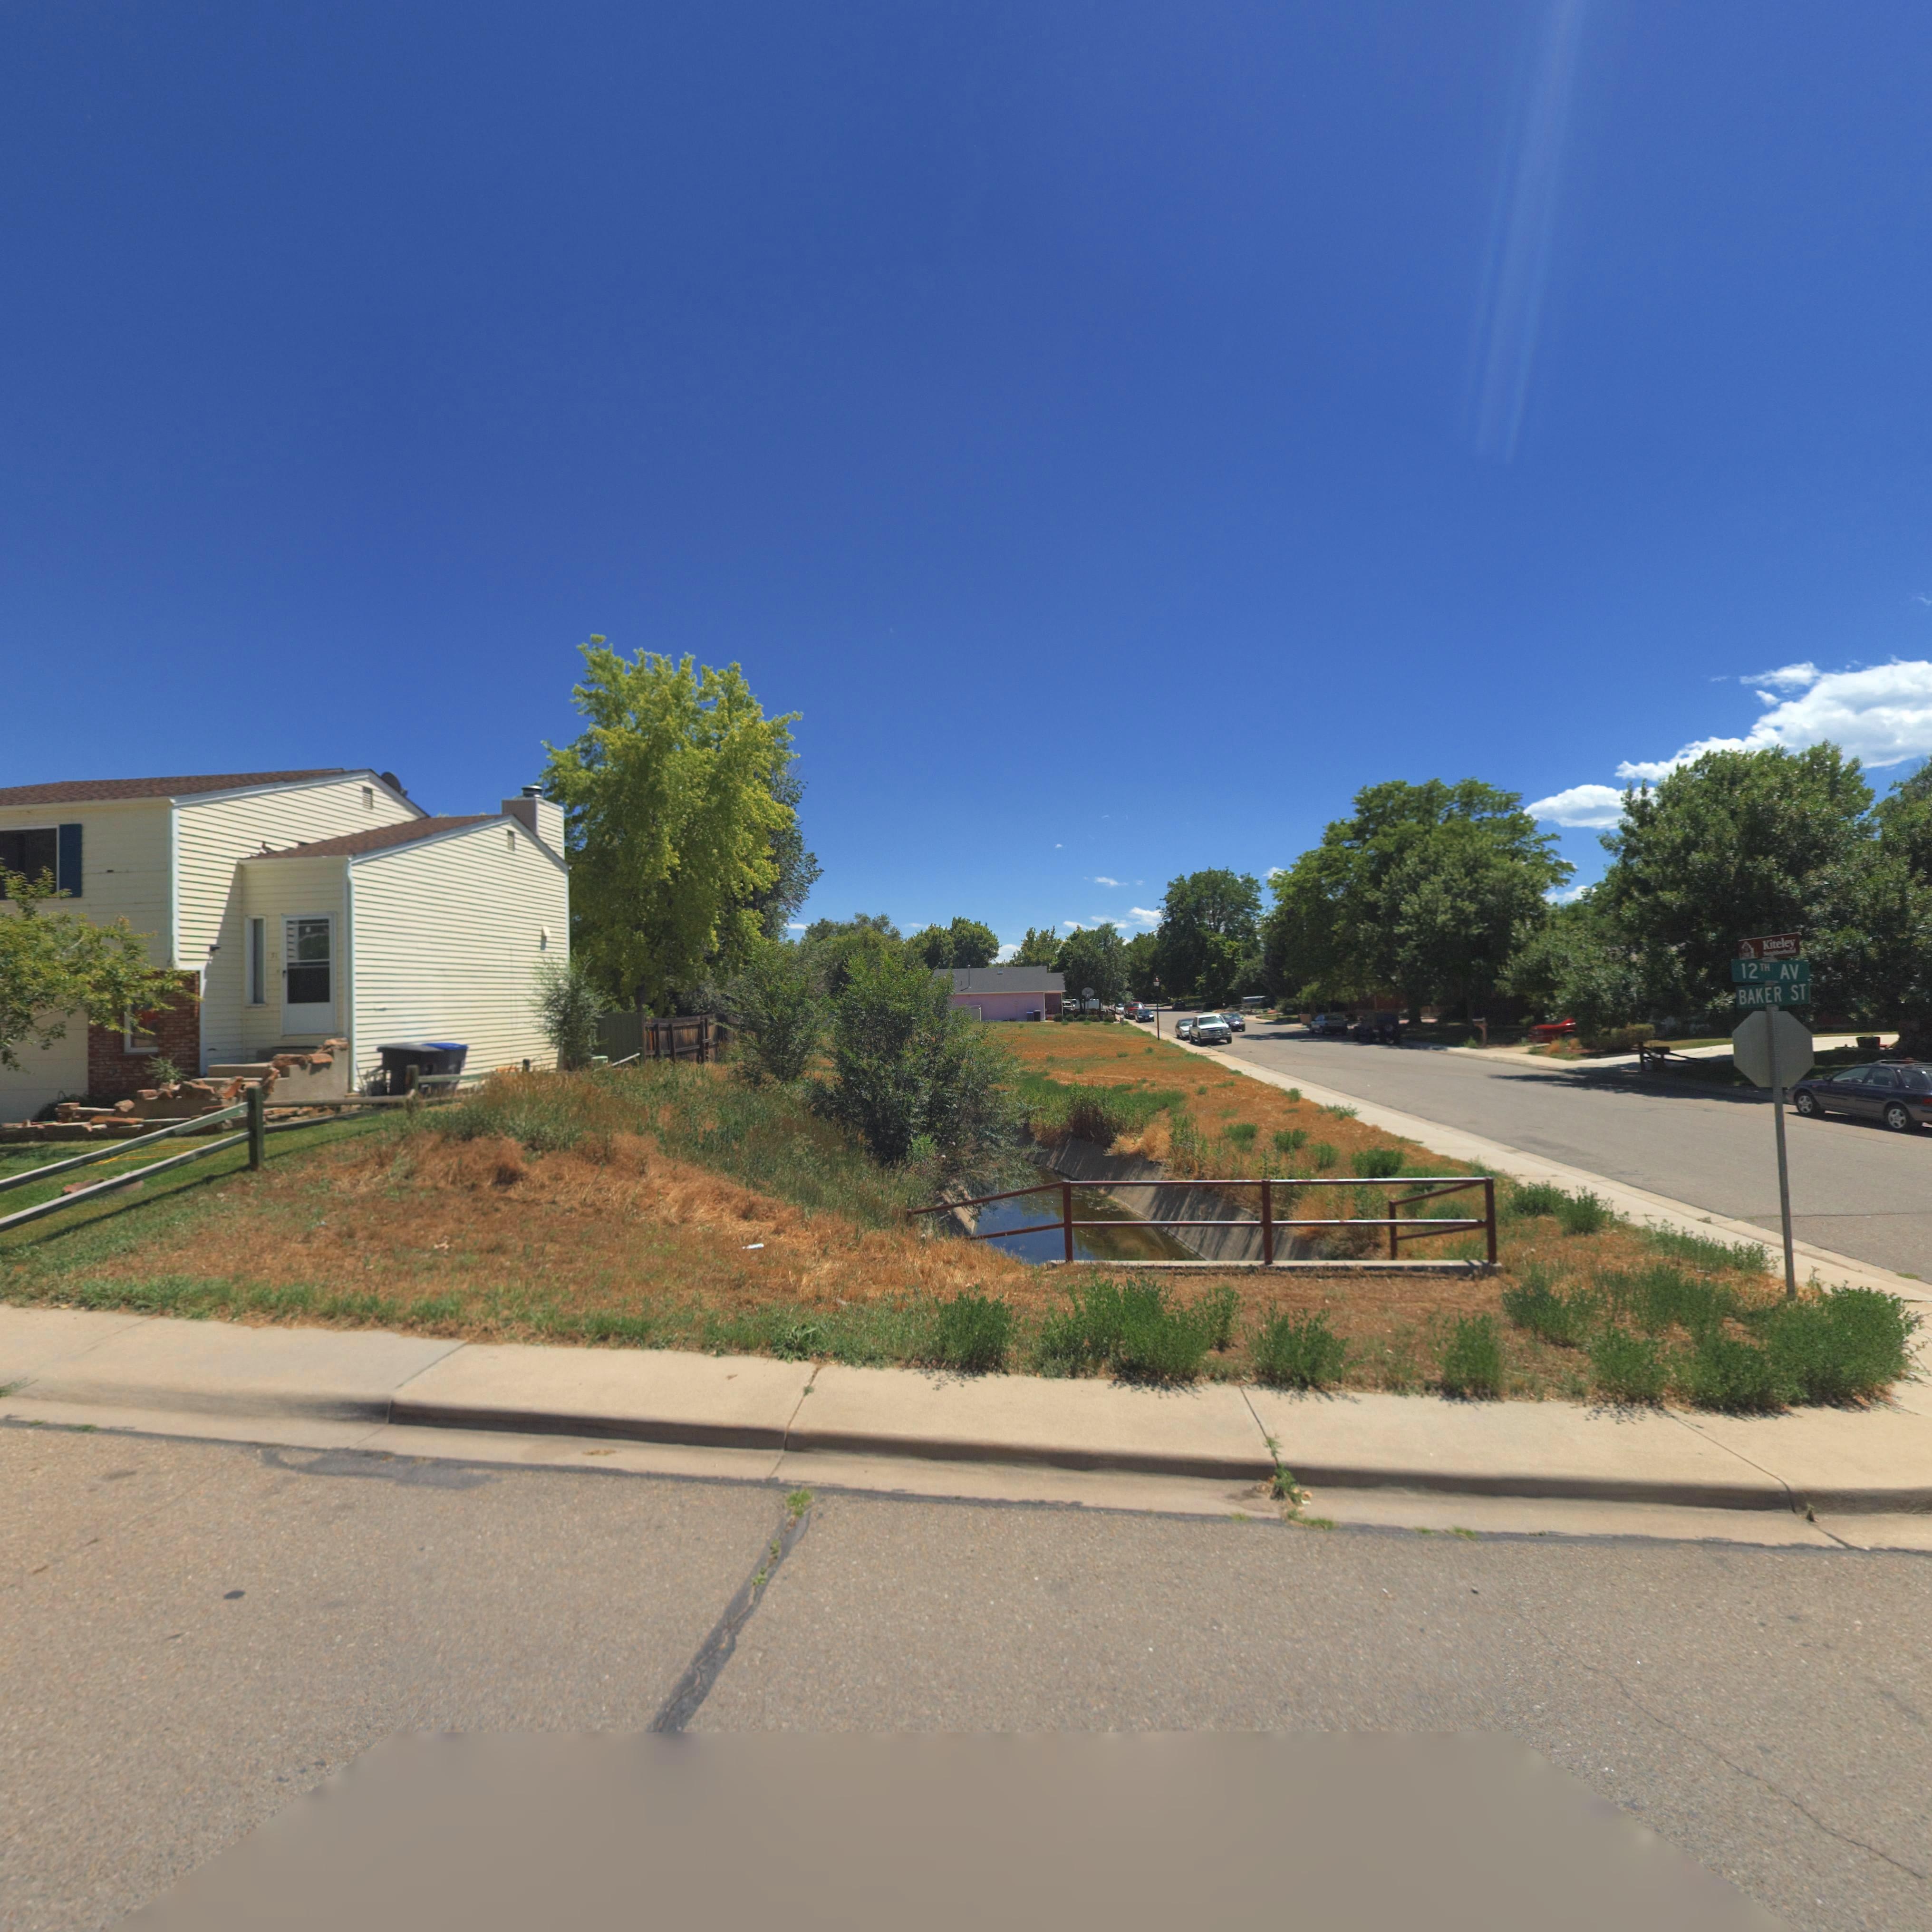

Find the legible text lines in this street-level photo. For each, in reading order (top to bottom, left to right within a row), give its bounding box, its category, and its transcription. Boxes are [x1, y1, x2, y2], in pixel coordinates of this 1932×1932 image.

[270, 952, 278, 958] StreetNumber: 5*
[1740, 963, 1799, 980] StreetName: 12TH AV
[1738, 983, 1806, 1005] StreetName: BAKER ST